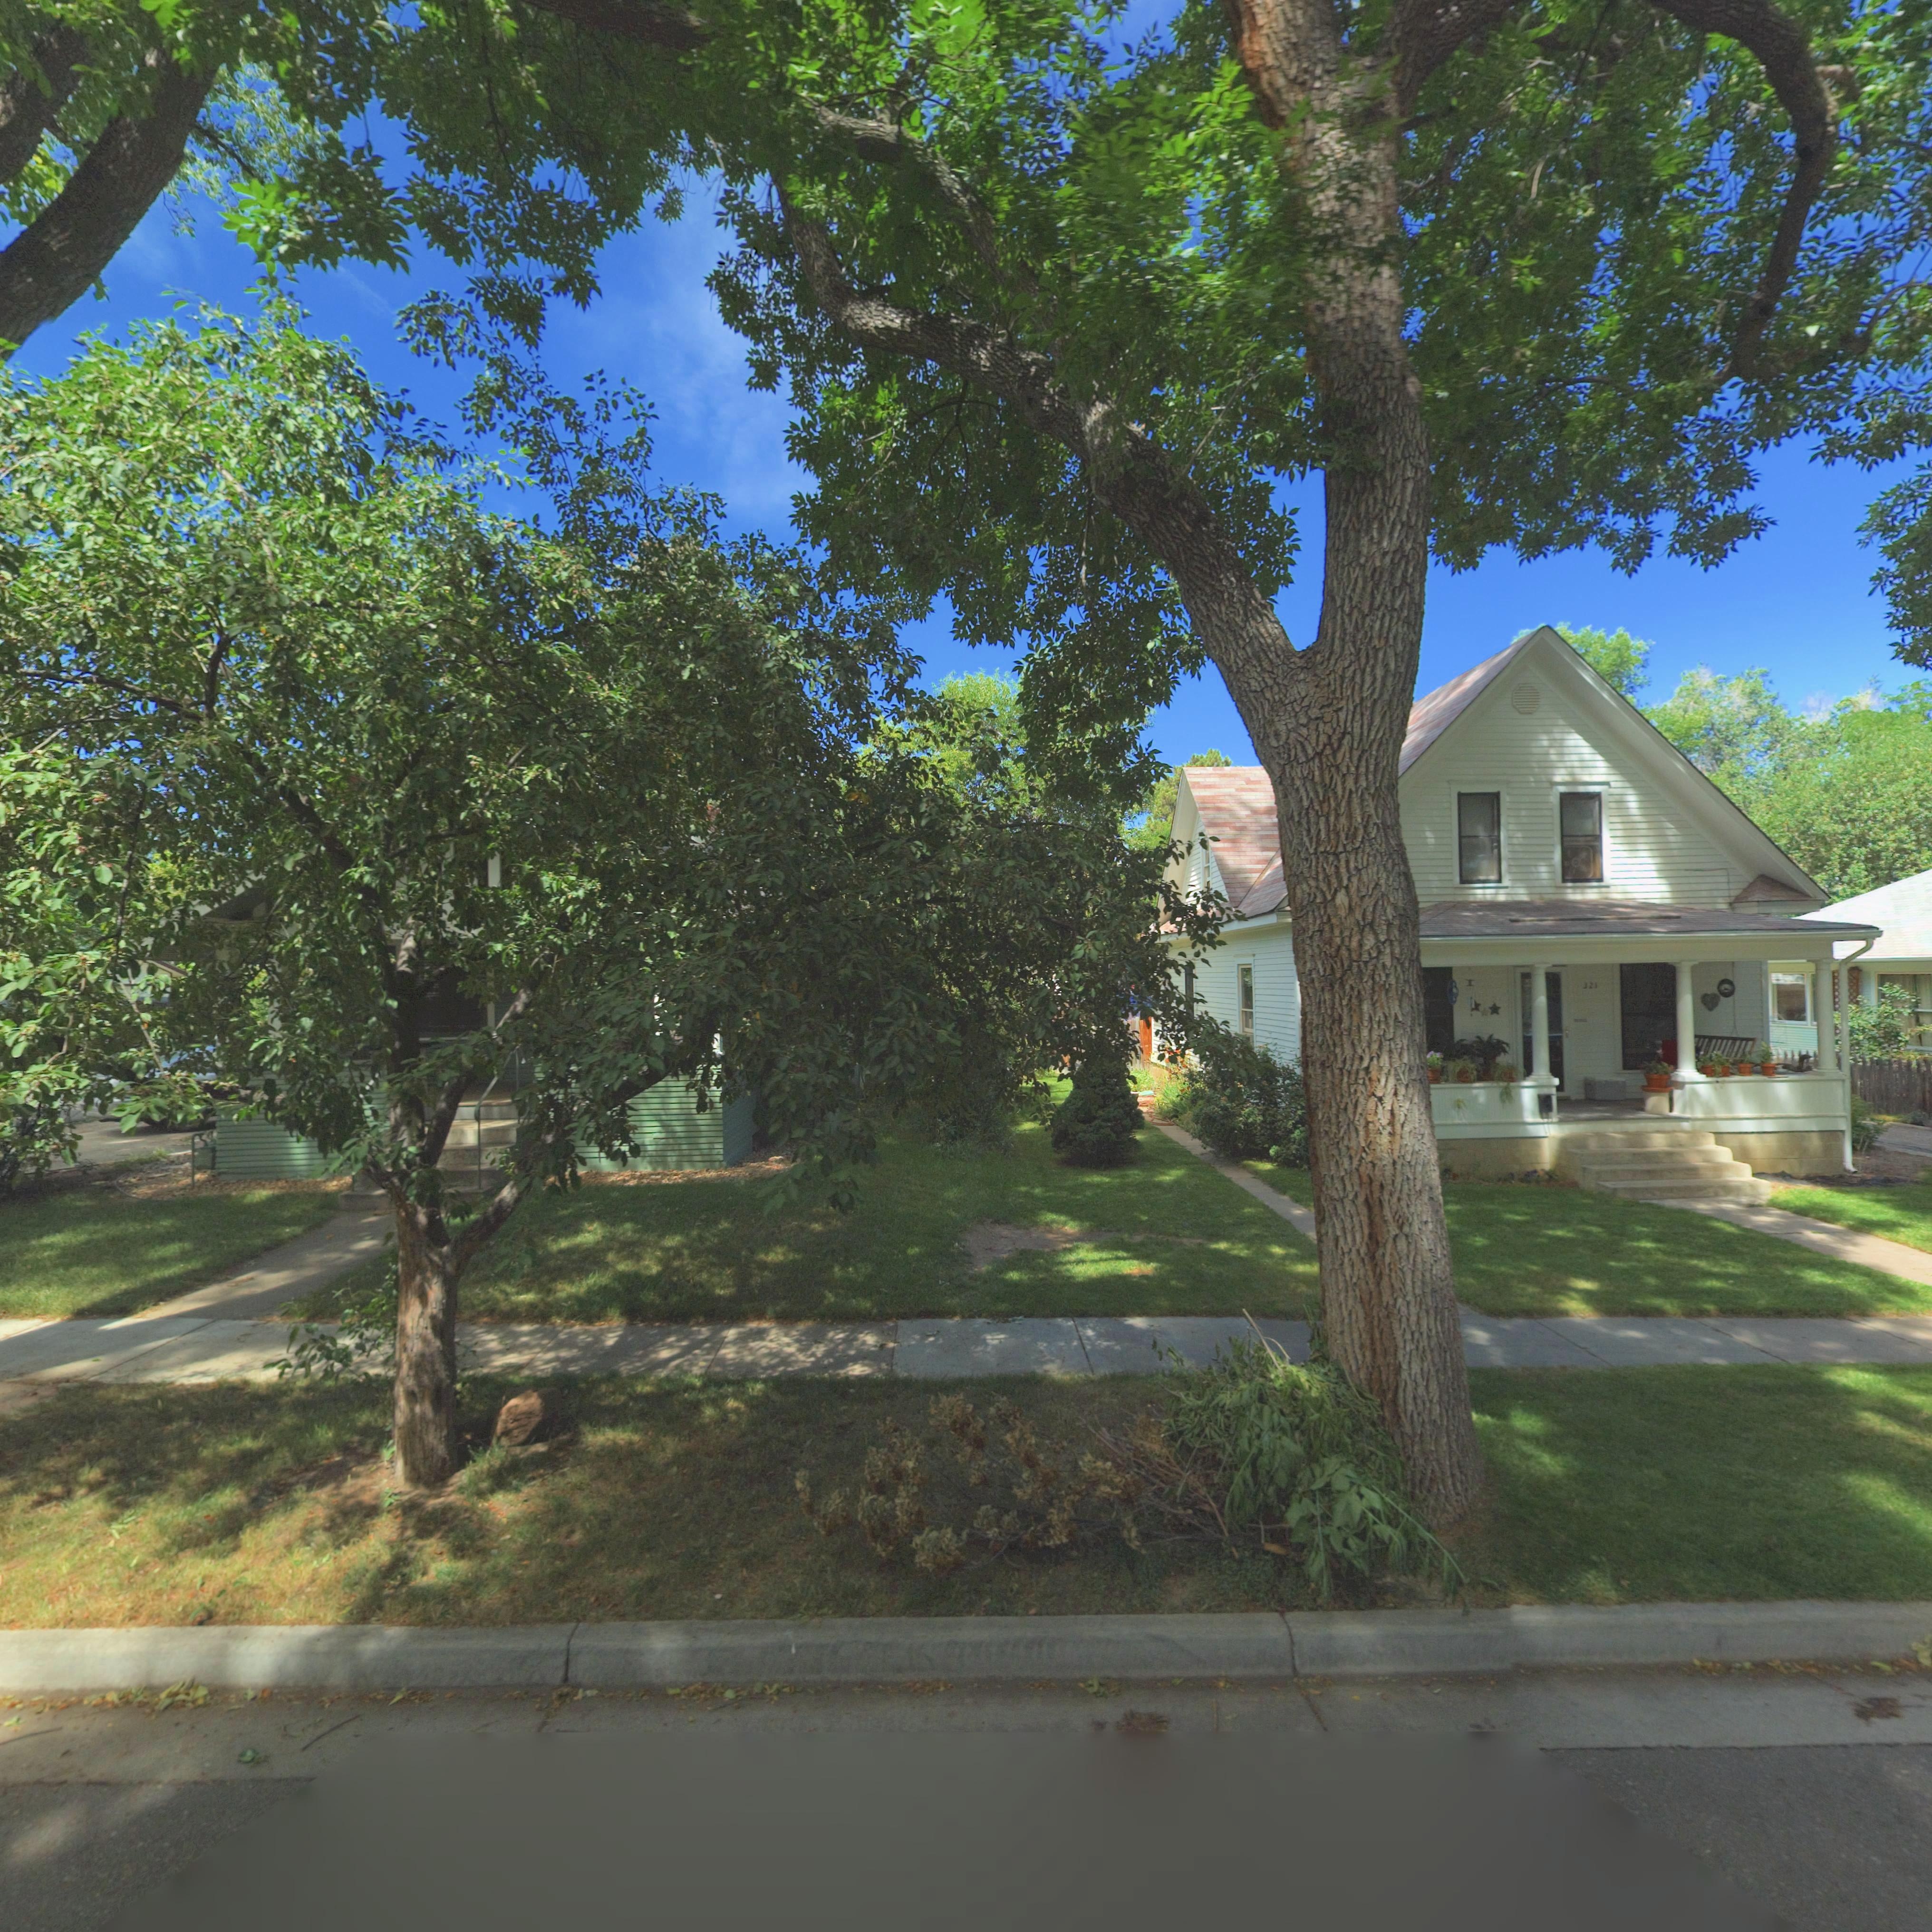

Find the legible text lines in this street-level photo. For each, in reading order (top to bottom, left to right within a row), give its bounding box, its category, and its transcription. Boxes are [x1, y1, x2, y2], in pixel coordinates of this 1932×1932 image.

[1582, 982, 1598, 989] StreetNumber: 321